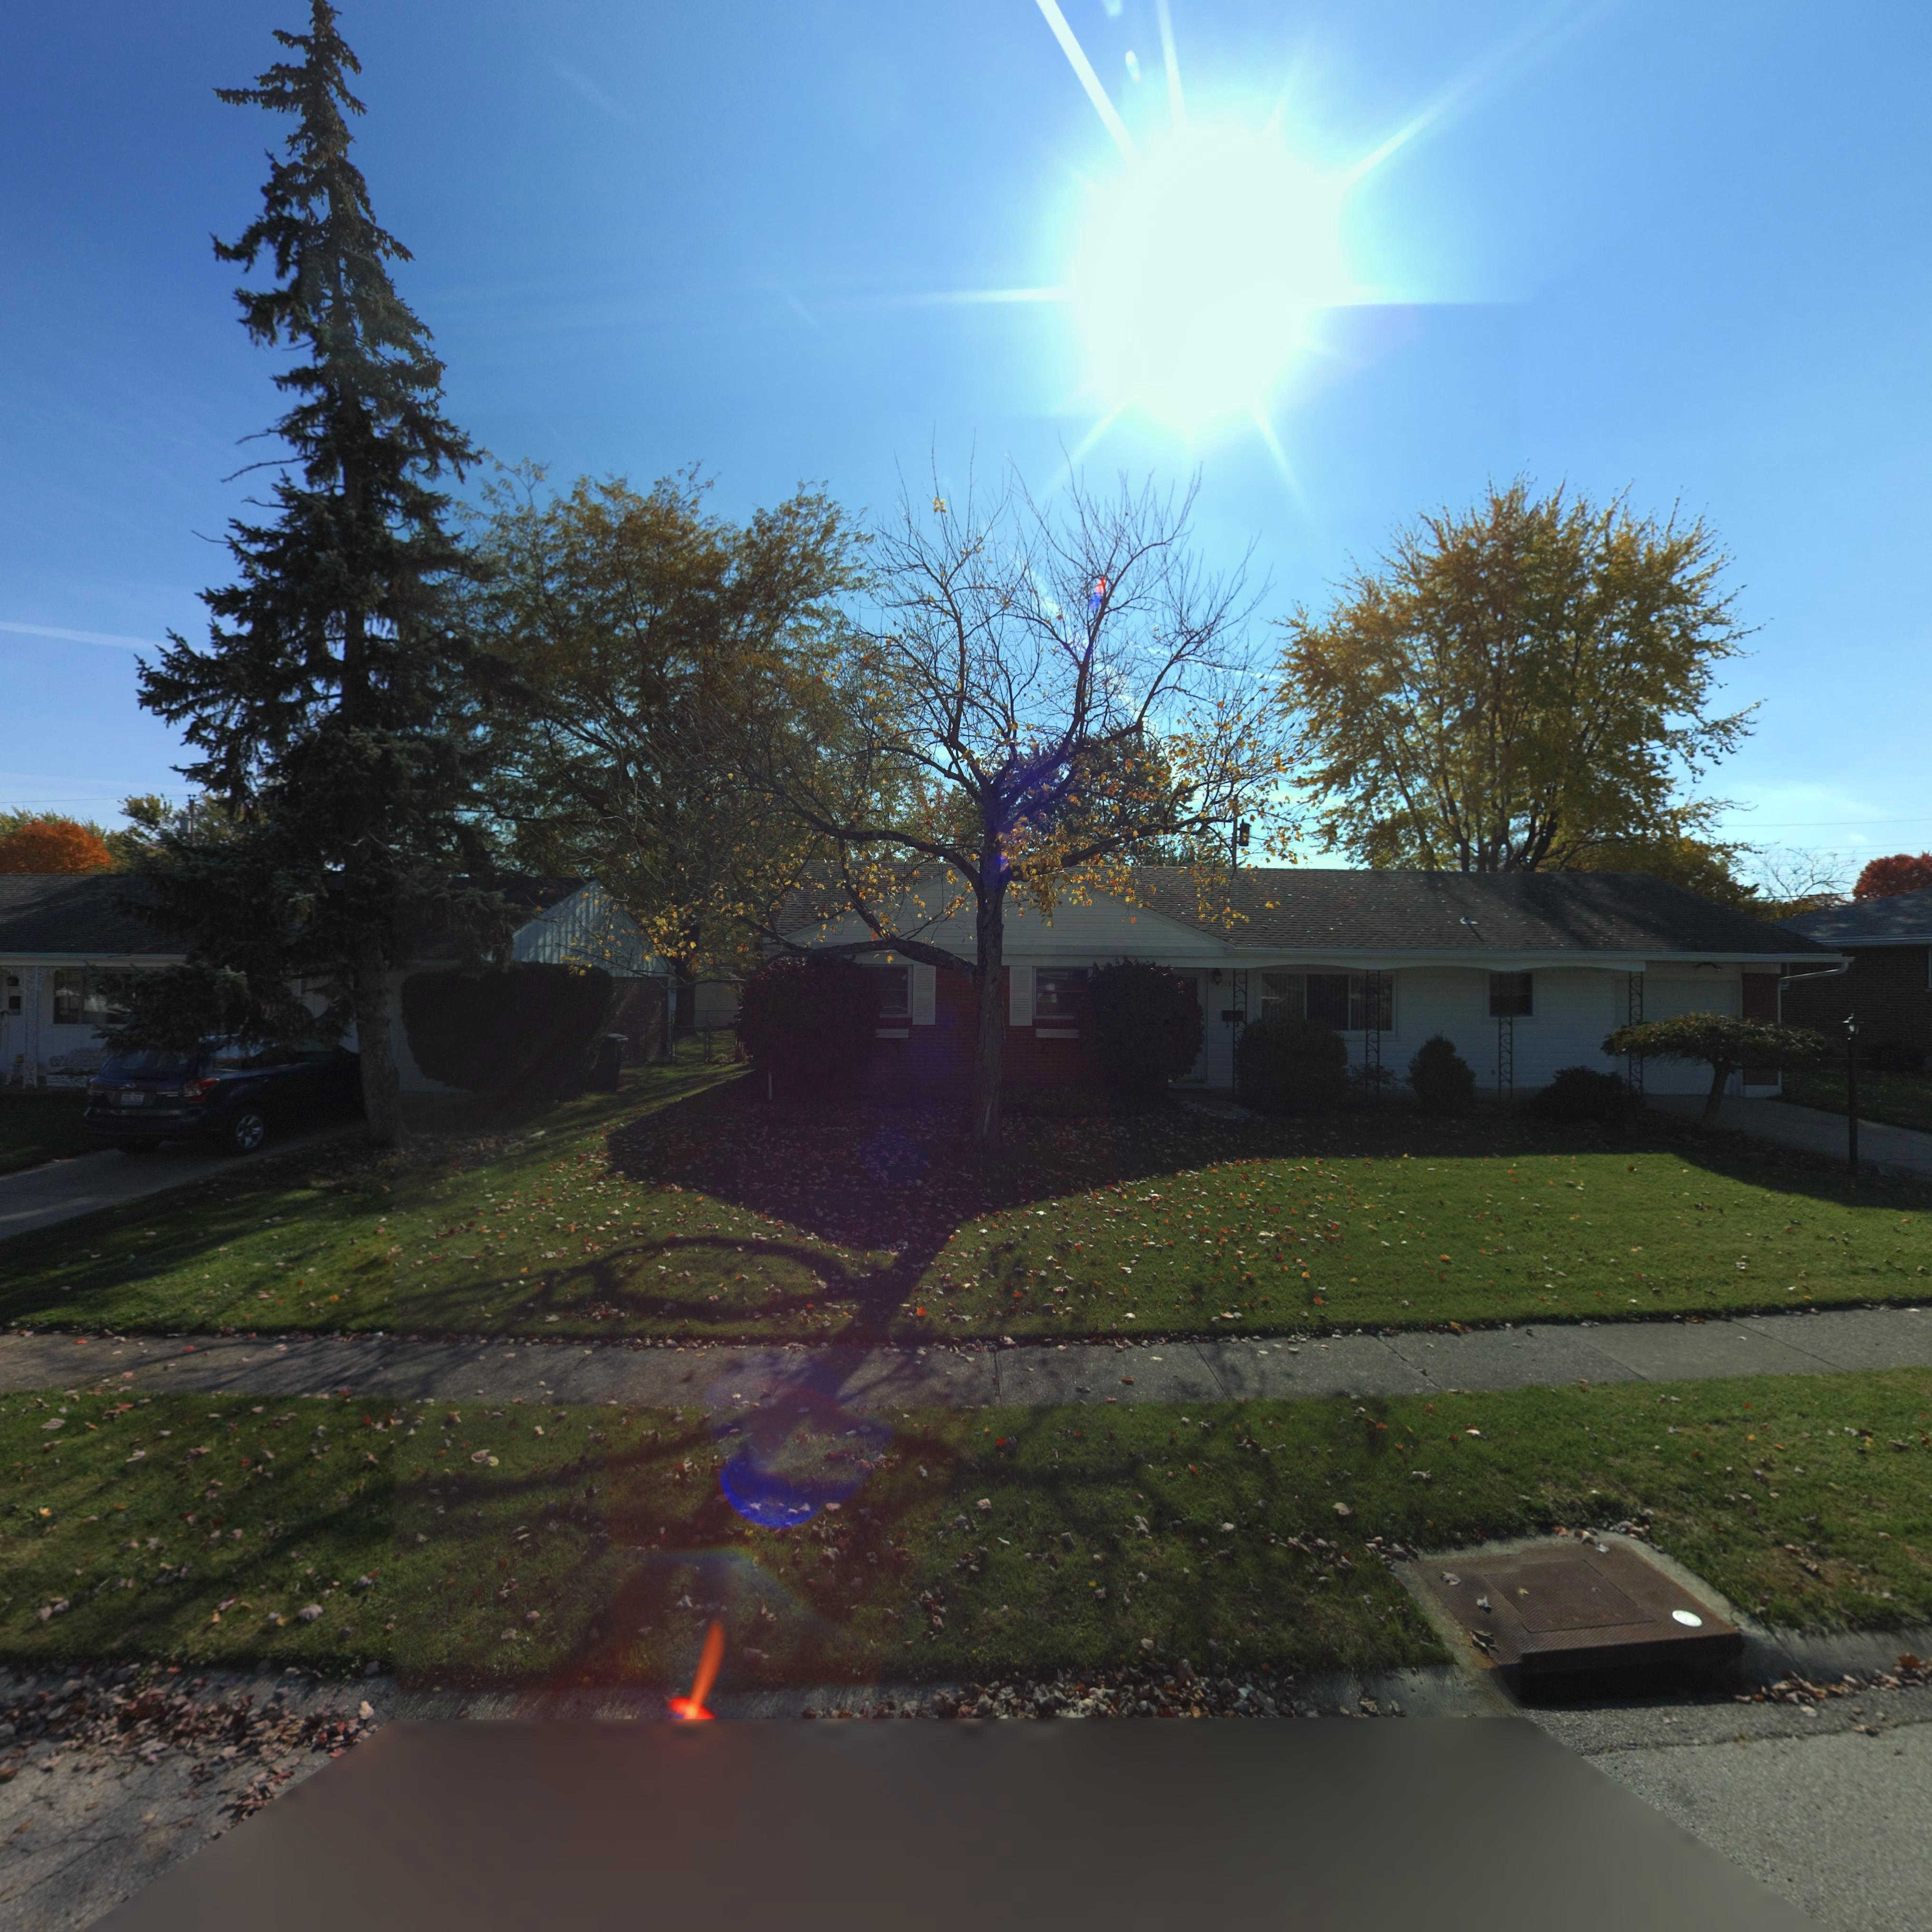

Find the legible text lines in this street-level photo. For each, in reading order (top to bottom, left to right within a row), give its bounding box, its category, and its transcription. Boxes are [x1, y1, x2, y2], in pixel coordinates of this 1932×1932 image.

[1220, 980, 1233, 988] StreetNumber: 113